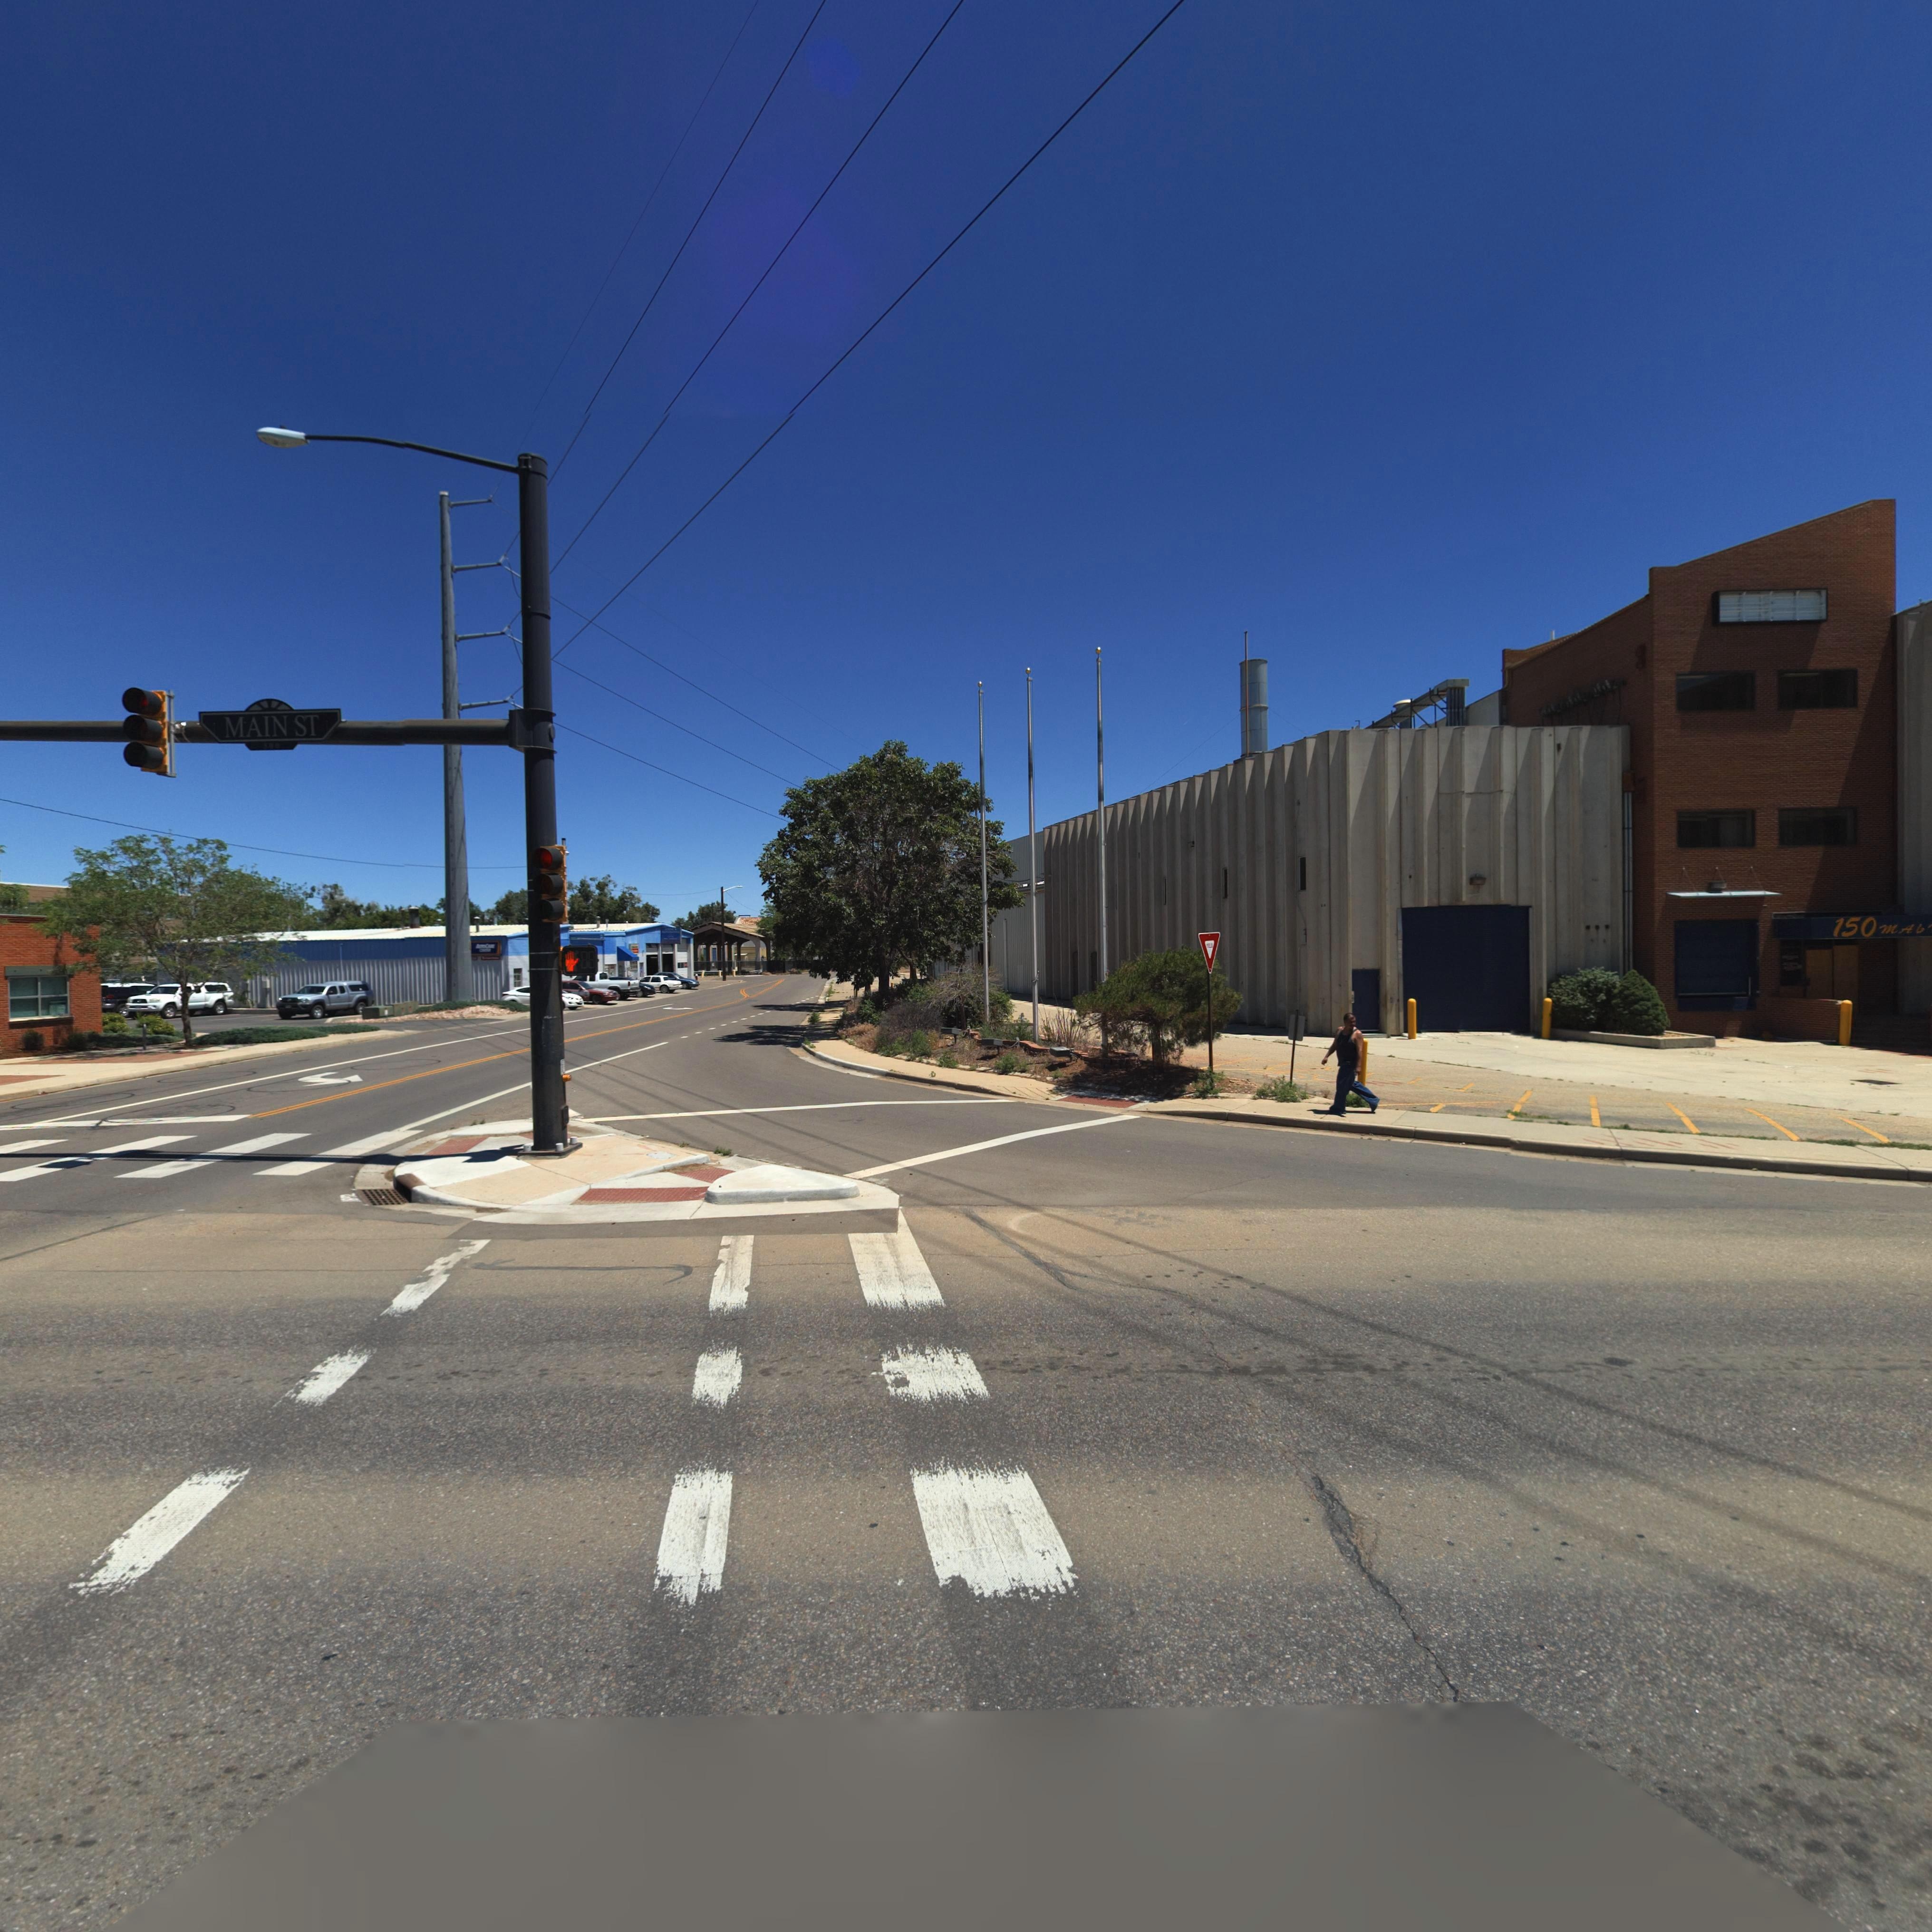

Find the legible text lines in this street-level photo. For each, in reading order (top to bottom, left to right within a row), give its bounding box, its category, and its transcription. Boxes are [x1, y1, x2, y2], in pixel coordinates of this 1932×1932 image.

[225, 714, 320, 738] StreetName: MAIN ST
[263, 742, 280, 749] StreetNumberRange: 500
[1832, 916, 1878, 937] StreetNumber: 150
[1879, 923, 1925, 934] StreetName: MAI